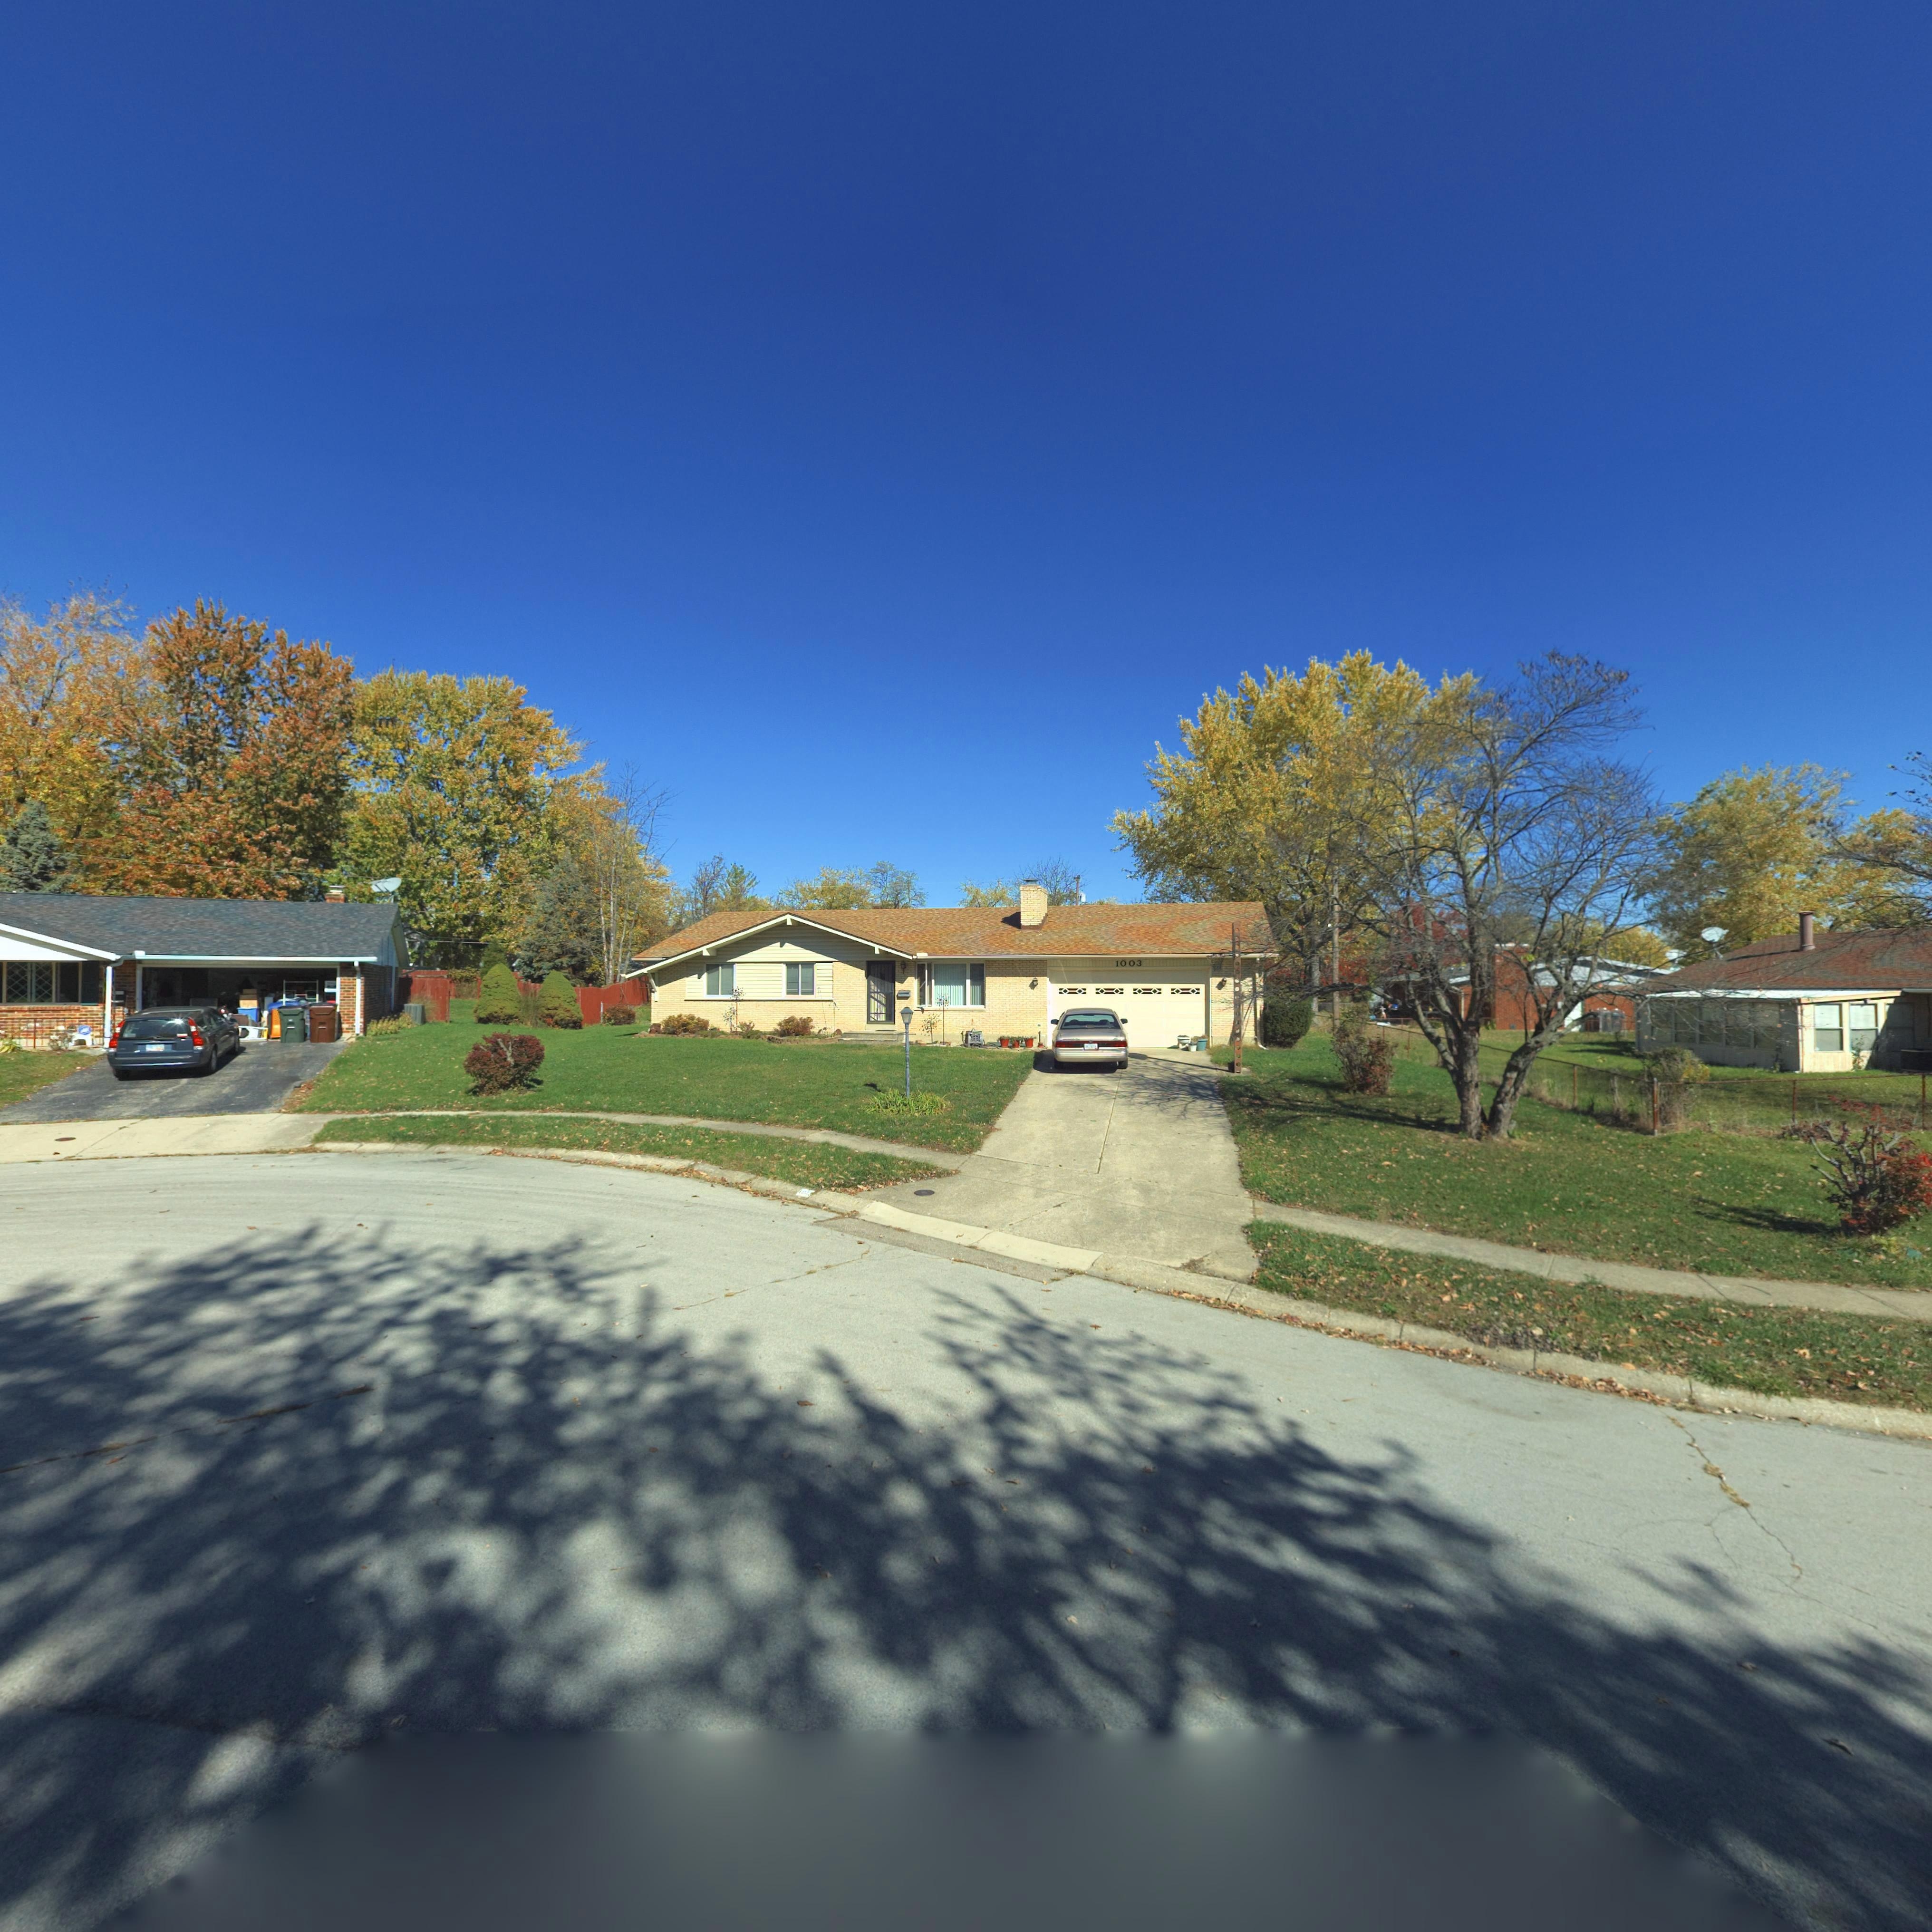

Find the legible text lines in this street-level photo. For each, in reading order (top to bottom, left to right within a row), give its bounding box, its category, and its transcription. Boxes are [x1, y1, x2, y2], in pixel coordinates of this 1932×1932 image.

[1115, 959, 1142, 967] StreetNumber: 1003
[797, 1189, 811, 1196] StreetNumber: 1***